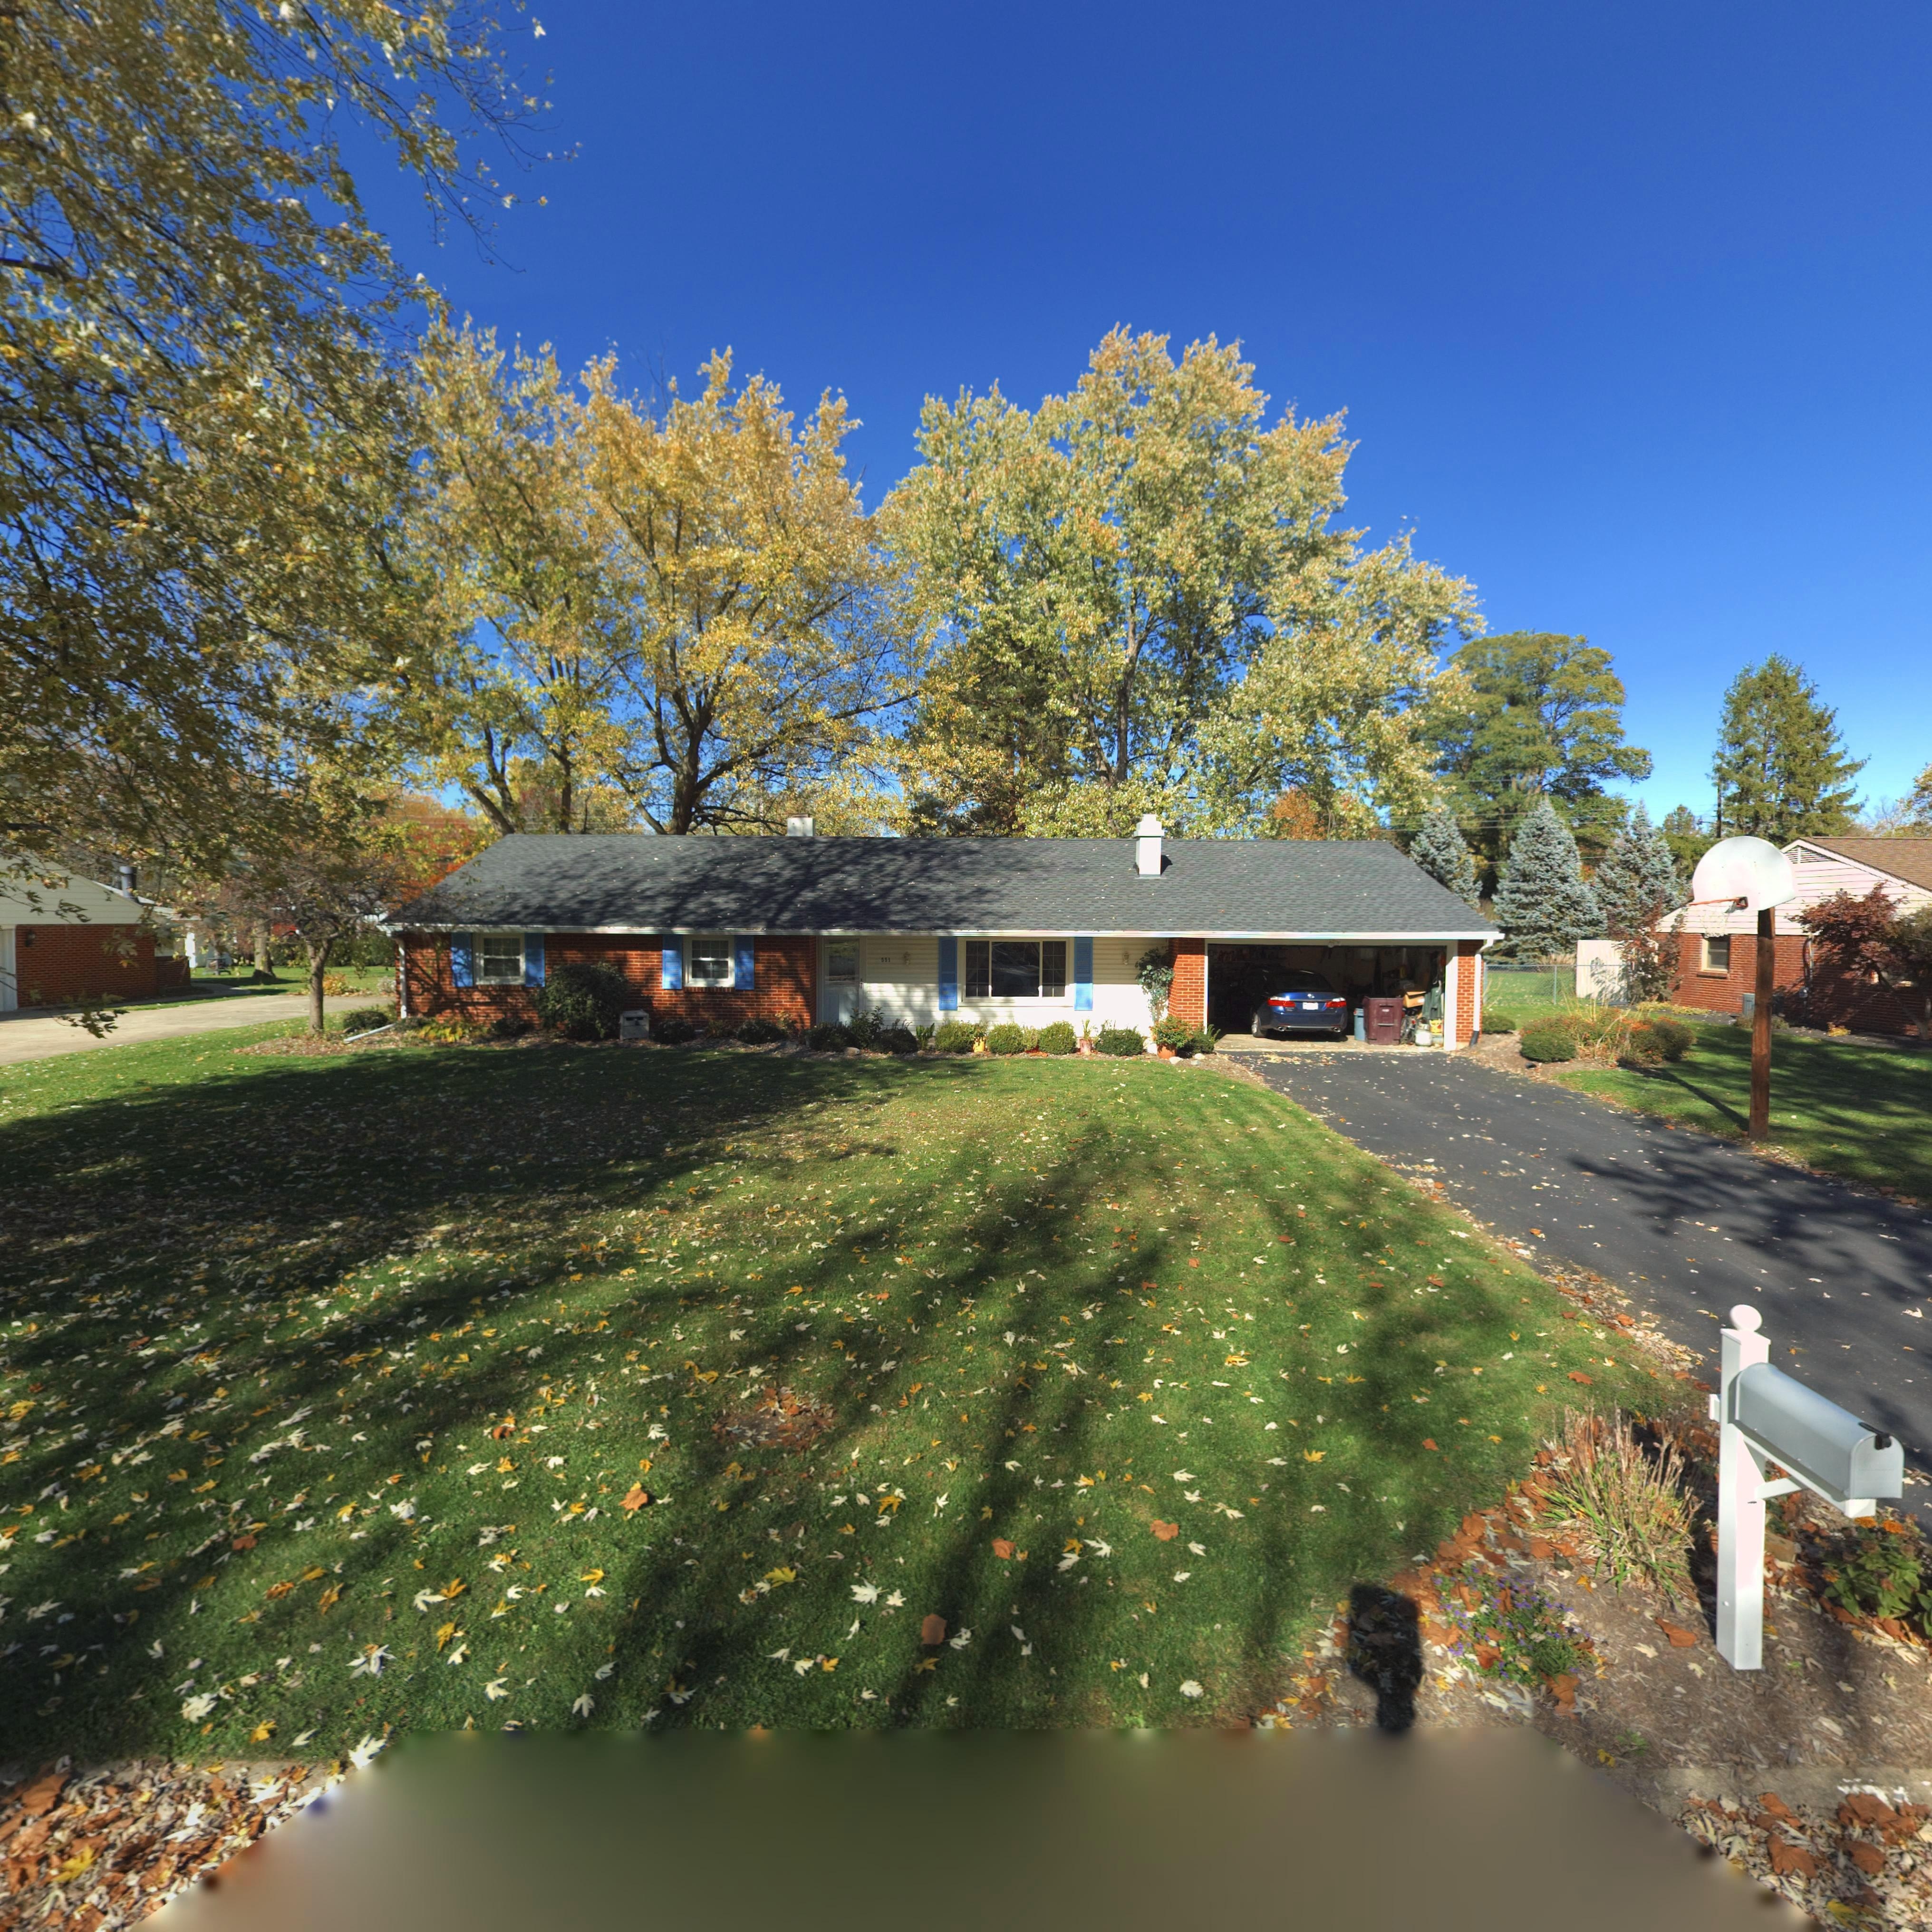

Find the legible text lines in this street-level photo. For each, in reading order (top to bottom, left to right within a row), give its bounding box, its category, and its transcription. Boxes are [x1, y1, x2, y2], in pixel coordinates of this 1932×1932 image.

[881, 957, 890, 962] StreetNumber: 551